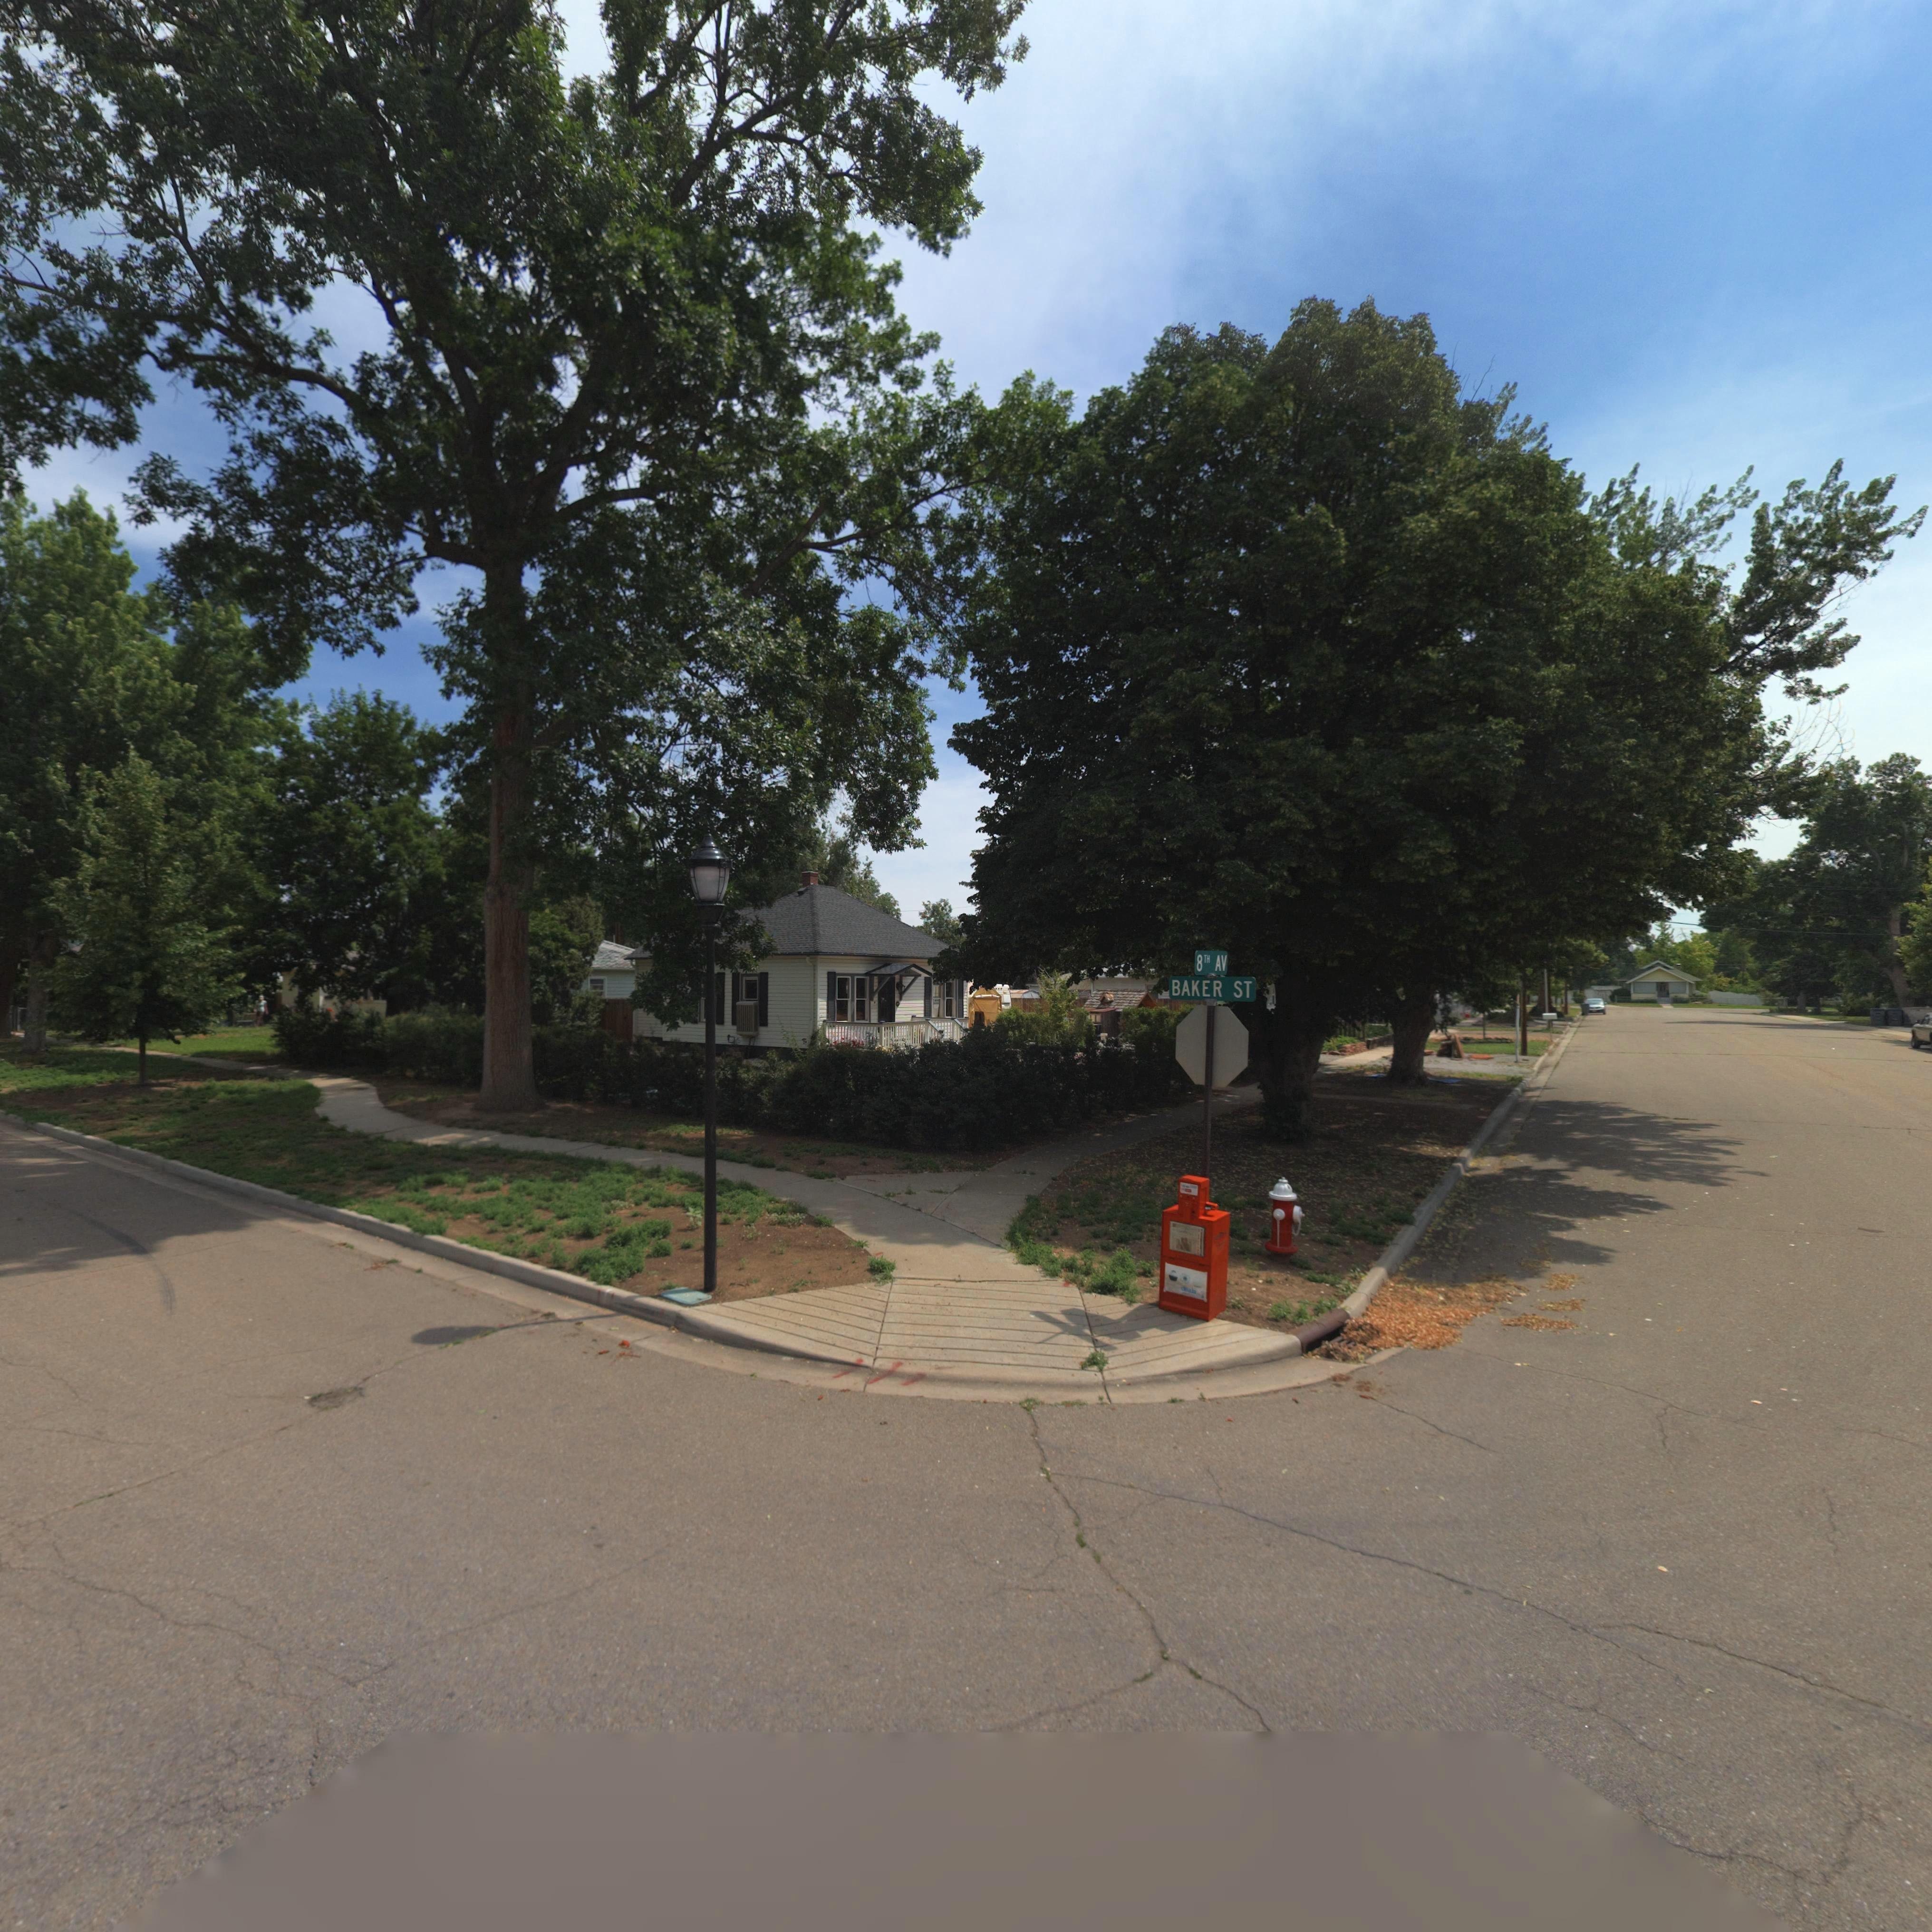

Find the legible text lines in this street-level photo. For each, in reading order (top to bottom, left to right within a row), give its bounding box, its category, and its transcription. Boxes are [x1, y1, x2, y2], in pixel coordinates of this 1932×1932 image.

[1196, 954, 1227, 972] StreetName: 8TH AV
[1171, 979, 1252, 998] StreetName: BAKER ST